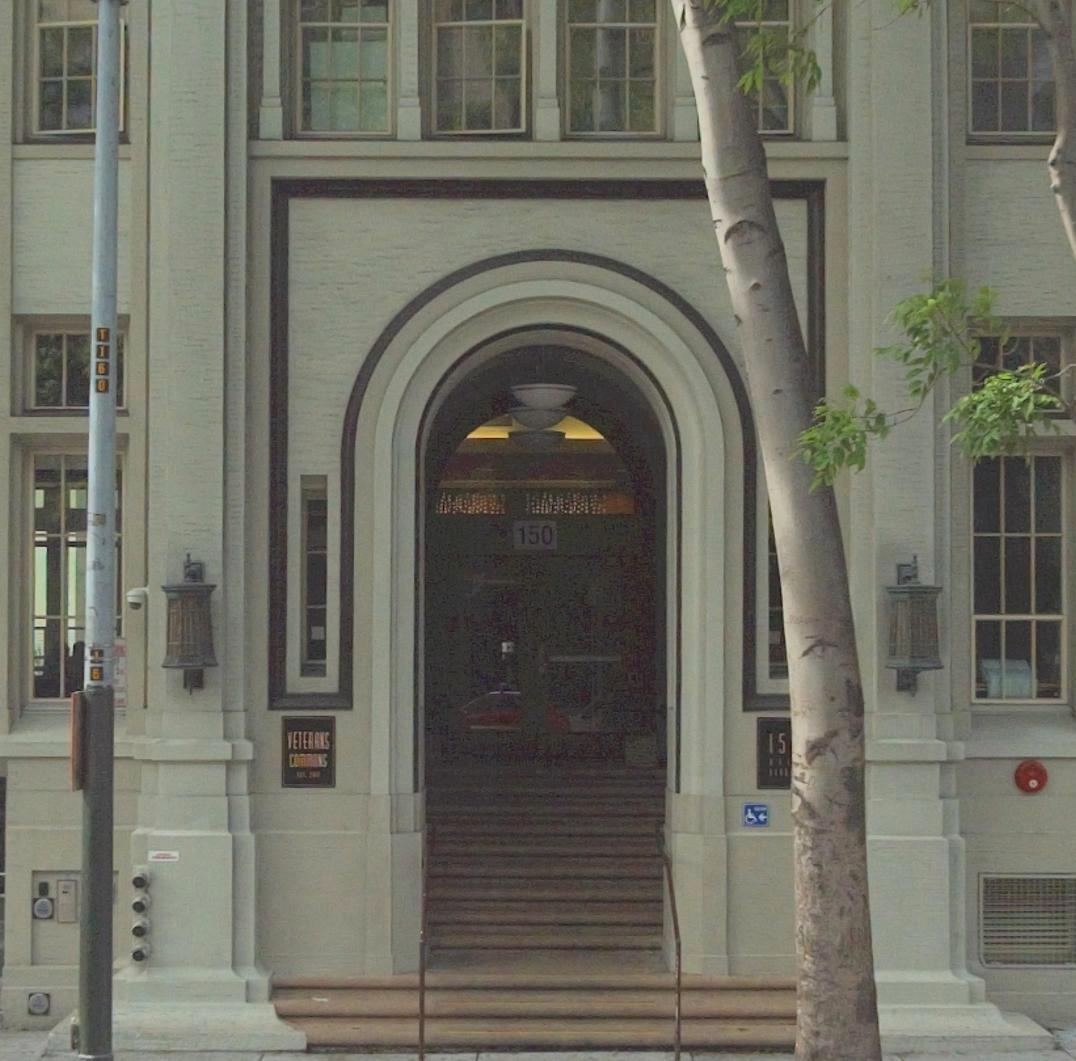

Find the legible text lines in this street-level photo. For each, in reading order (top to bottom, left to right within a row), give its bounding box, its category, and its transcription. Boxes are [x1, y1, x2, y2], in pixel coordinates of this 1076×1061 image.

[97, 329, 106, 392] None: 11*0
[518, 525, 553, 546] StreetNumber: 150
[285, 730, 332, 751] None: VETERANS
[767, 732, 786, 754] StreetNumber: 15